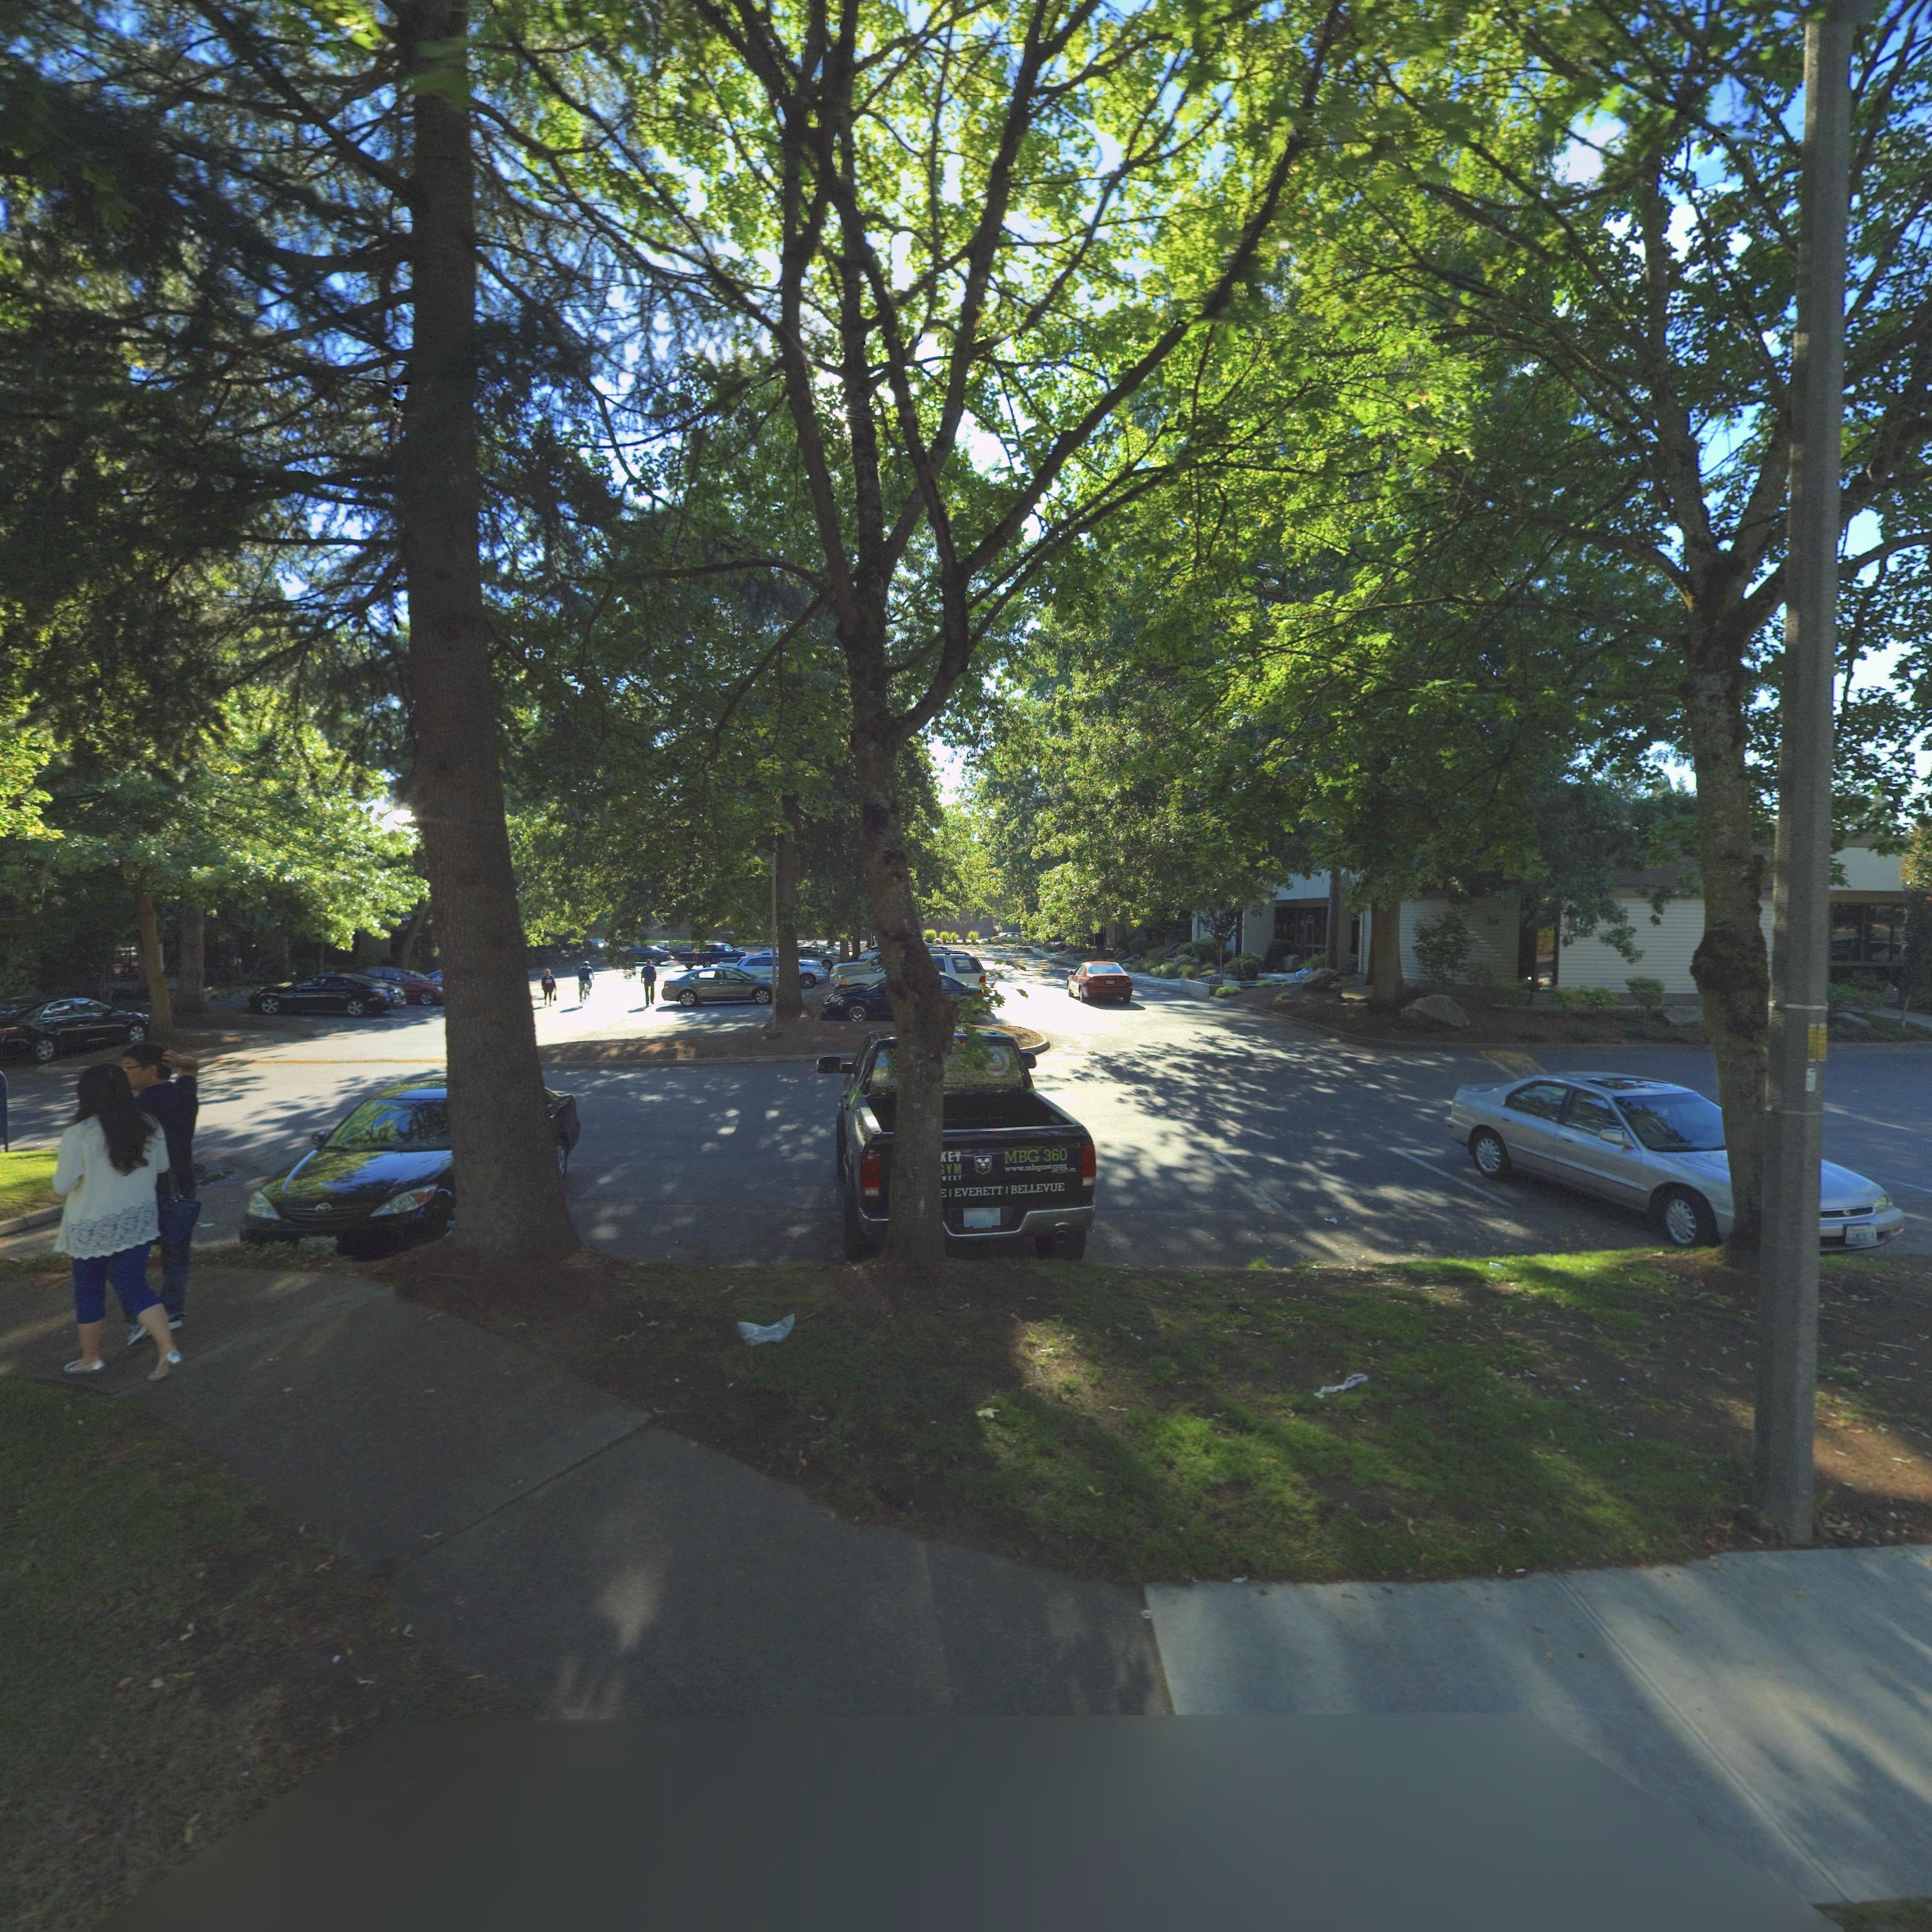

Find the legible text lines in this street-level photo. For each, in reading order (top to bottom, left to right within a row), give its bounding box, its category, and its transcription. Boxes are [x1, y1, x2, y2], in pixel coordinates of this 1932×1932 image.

[1008, 1181, 1066, 1195] None: BELLEVUE